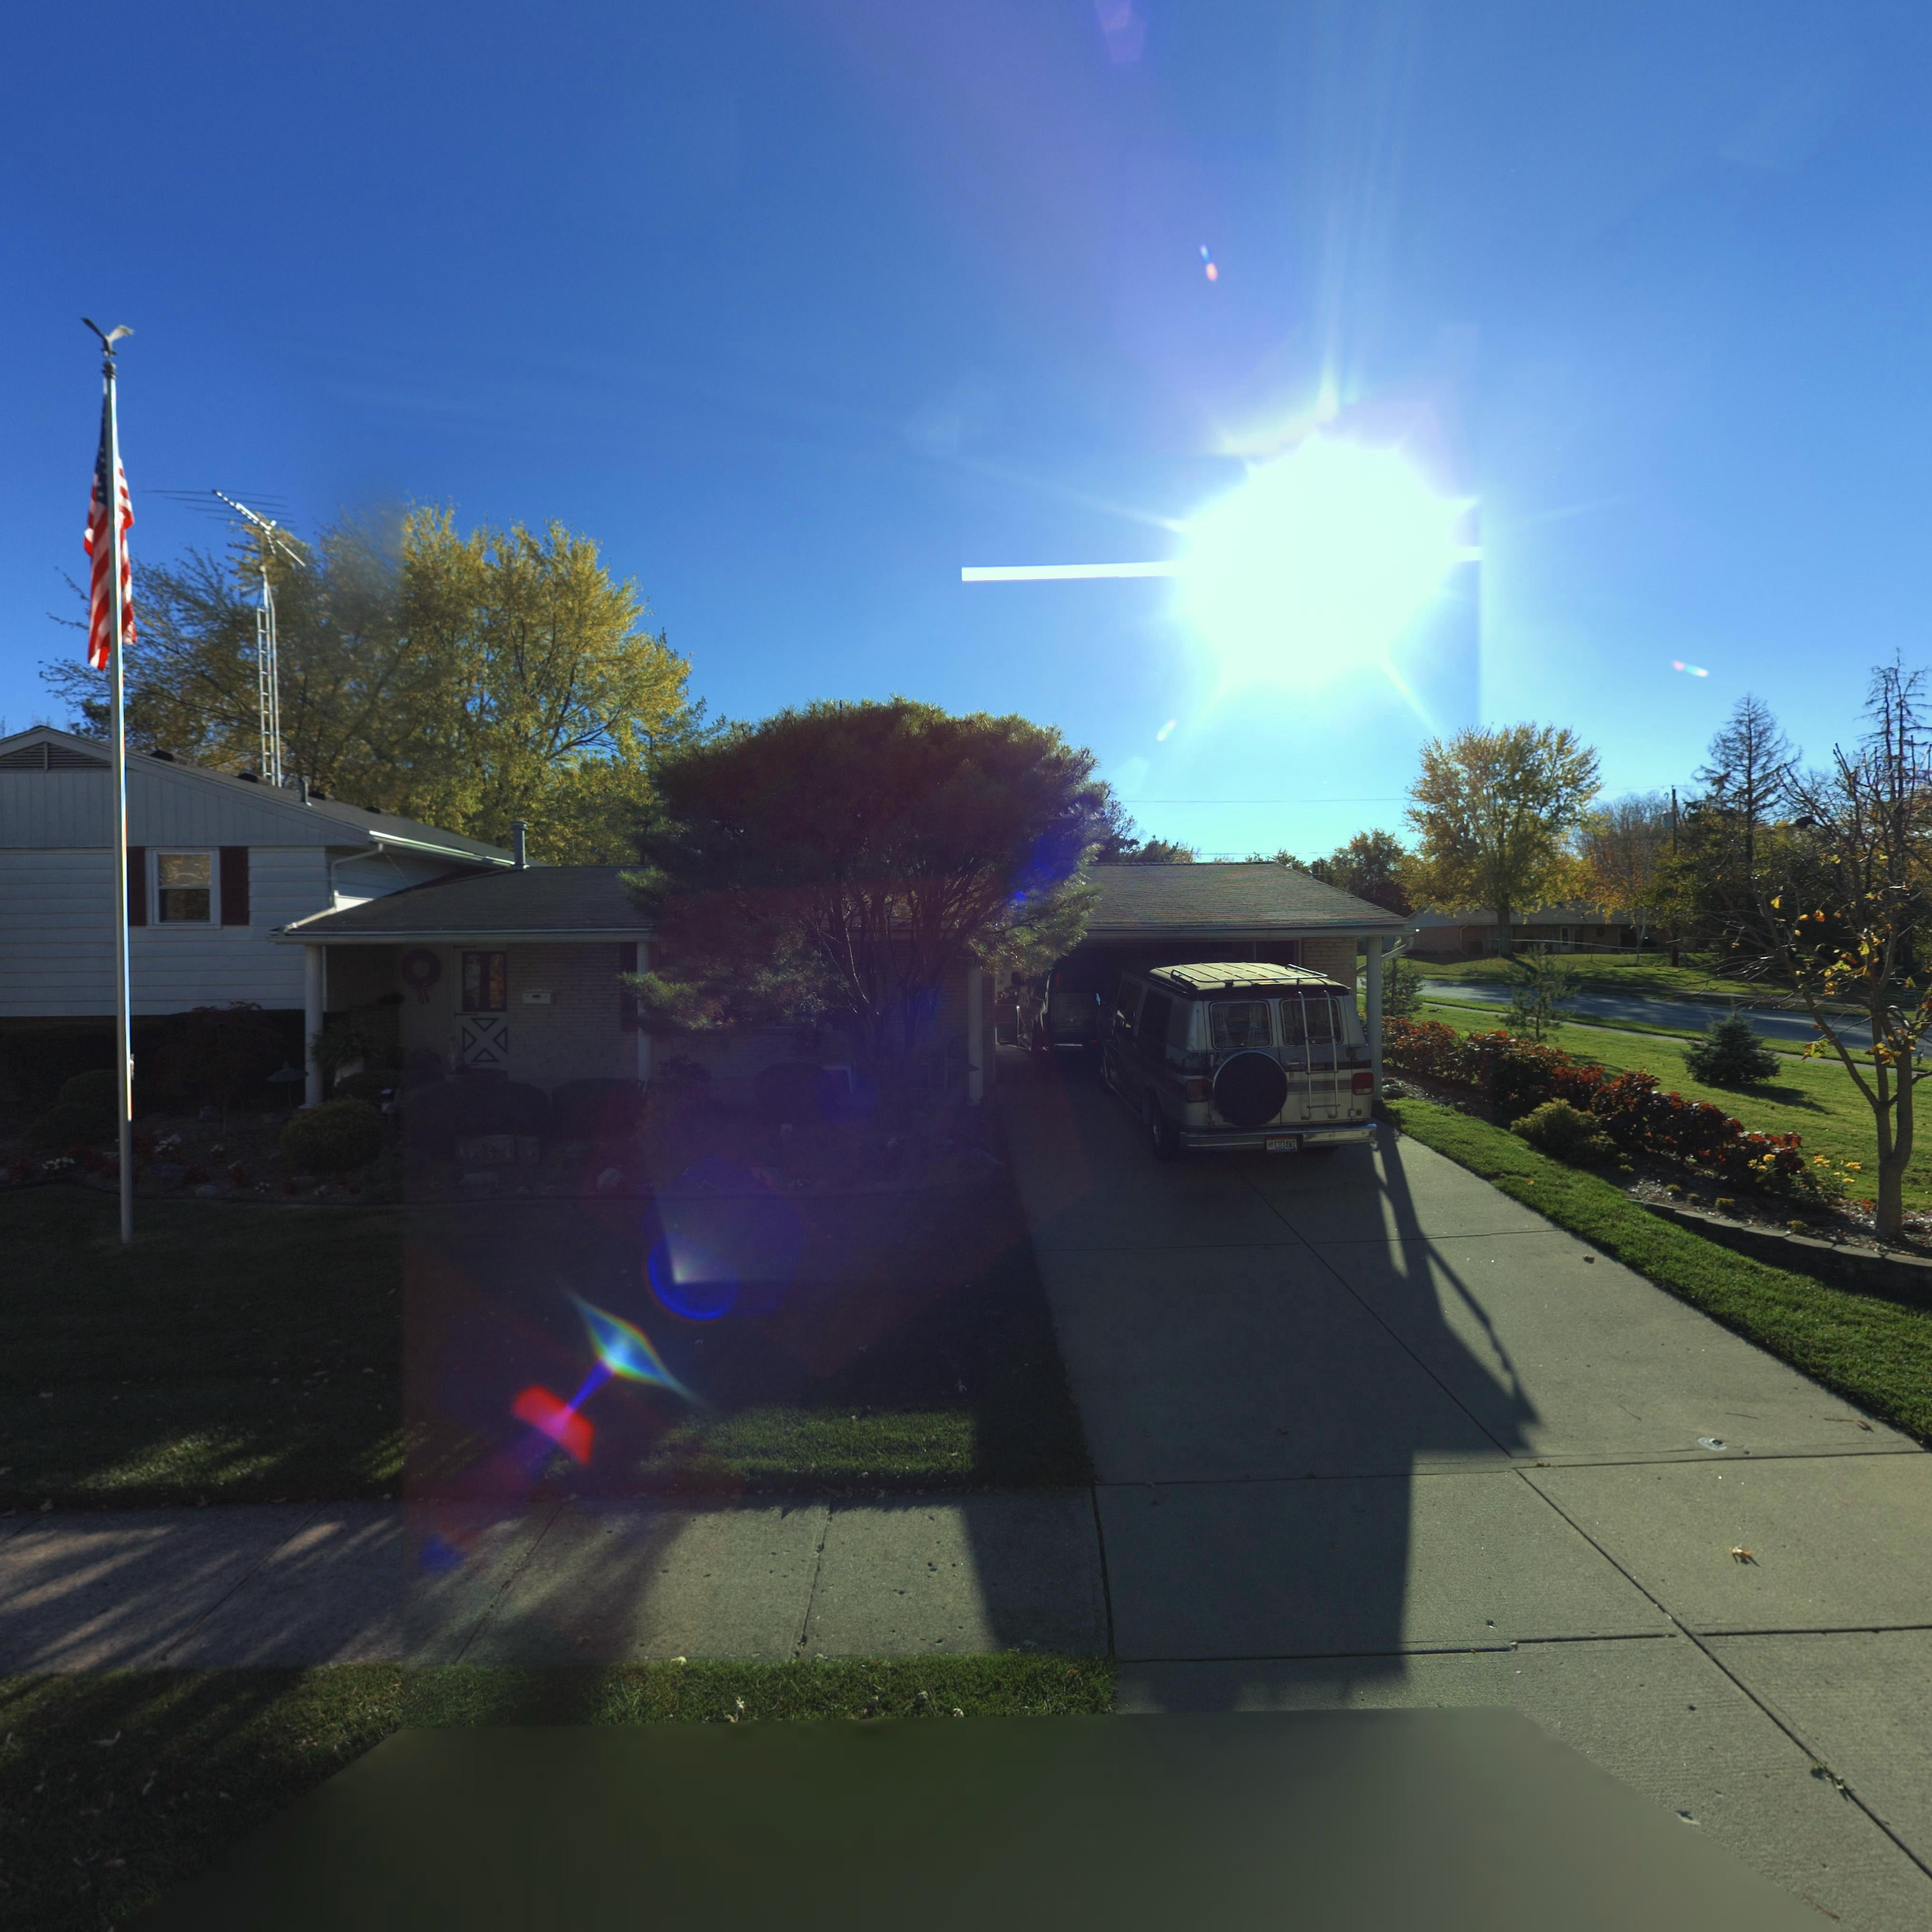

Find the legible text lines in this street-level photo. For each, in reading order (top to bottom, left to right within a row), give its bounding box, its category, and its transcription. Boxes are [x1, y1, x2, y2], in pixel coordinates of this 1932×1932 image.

[459, 1142, 534, 1161] StreetNumber: 6845